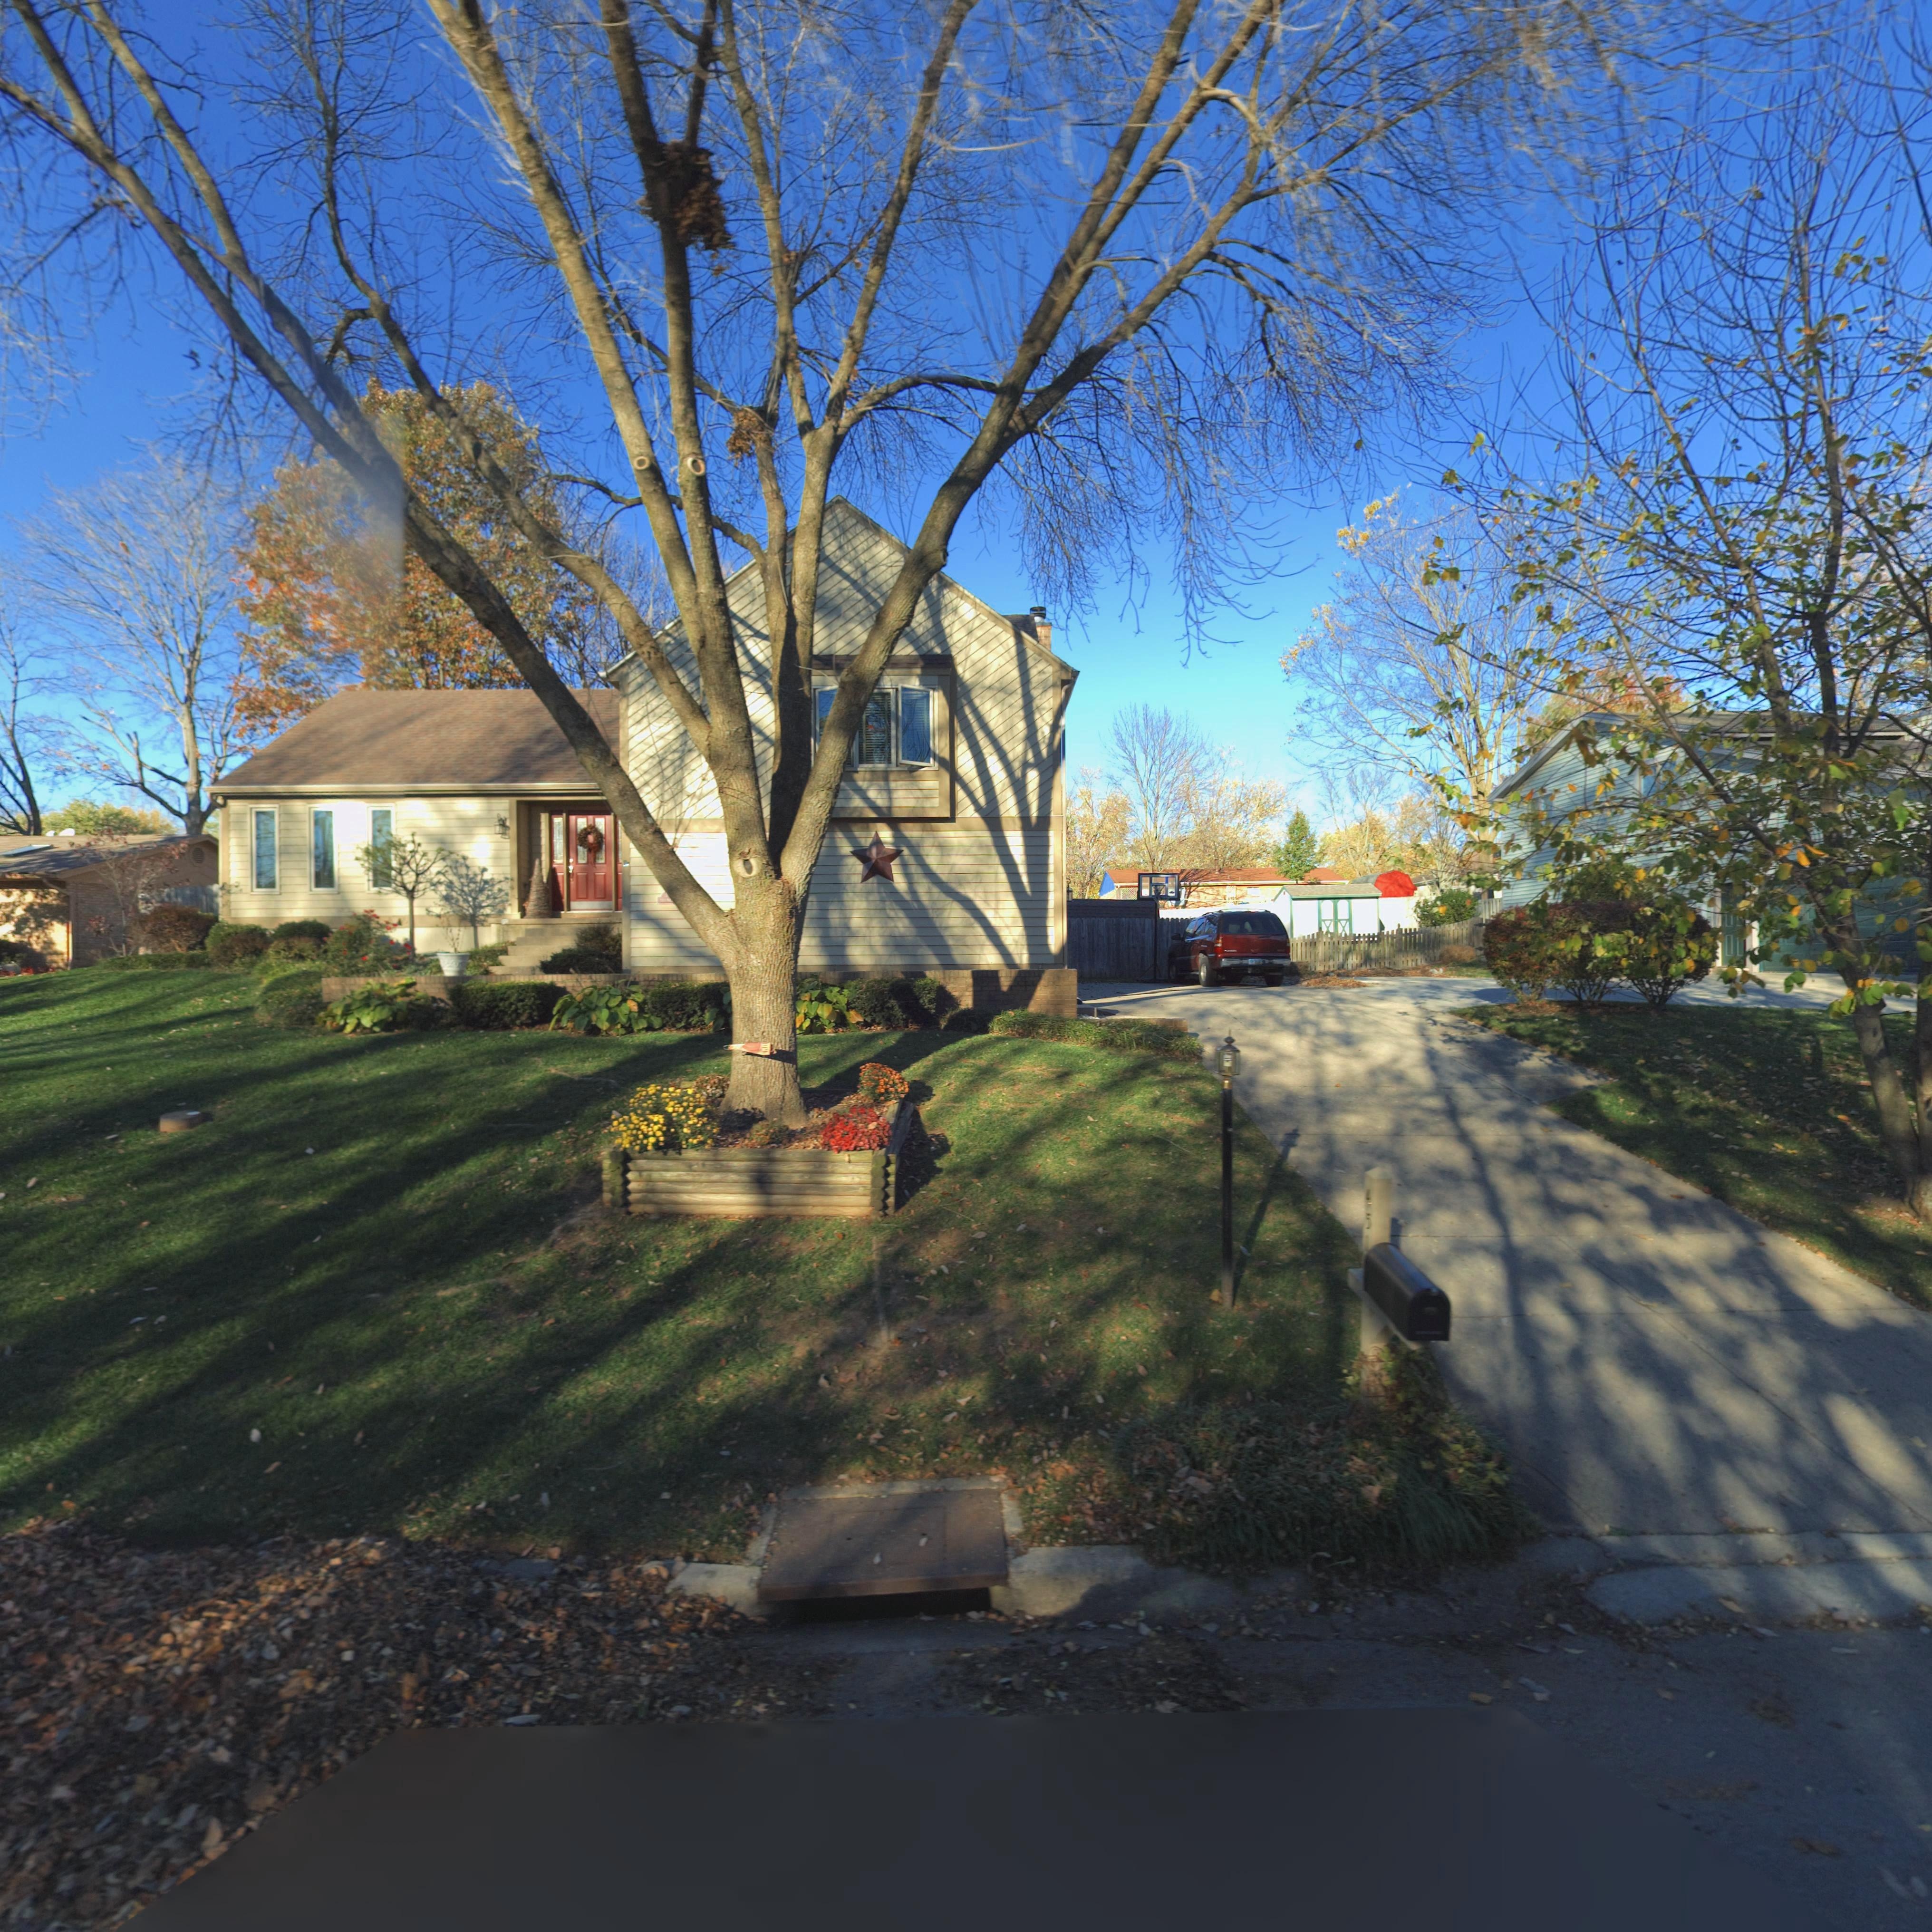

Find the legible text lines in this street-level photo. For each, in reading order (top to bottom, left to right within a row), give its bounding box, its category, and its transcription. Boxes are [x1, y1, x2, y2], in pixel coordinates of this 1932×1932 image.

[1362, 1187, 1373, 1254] StreetNumber: 451